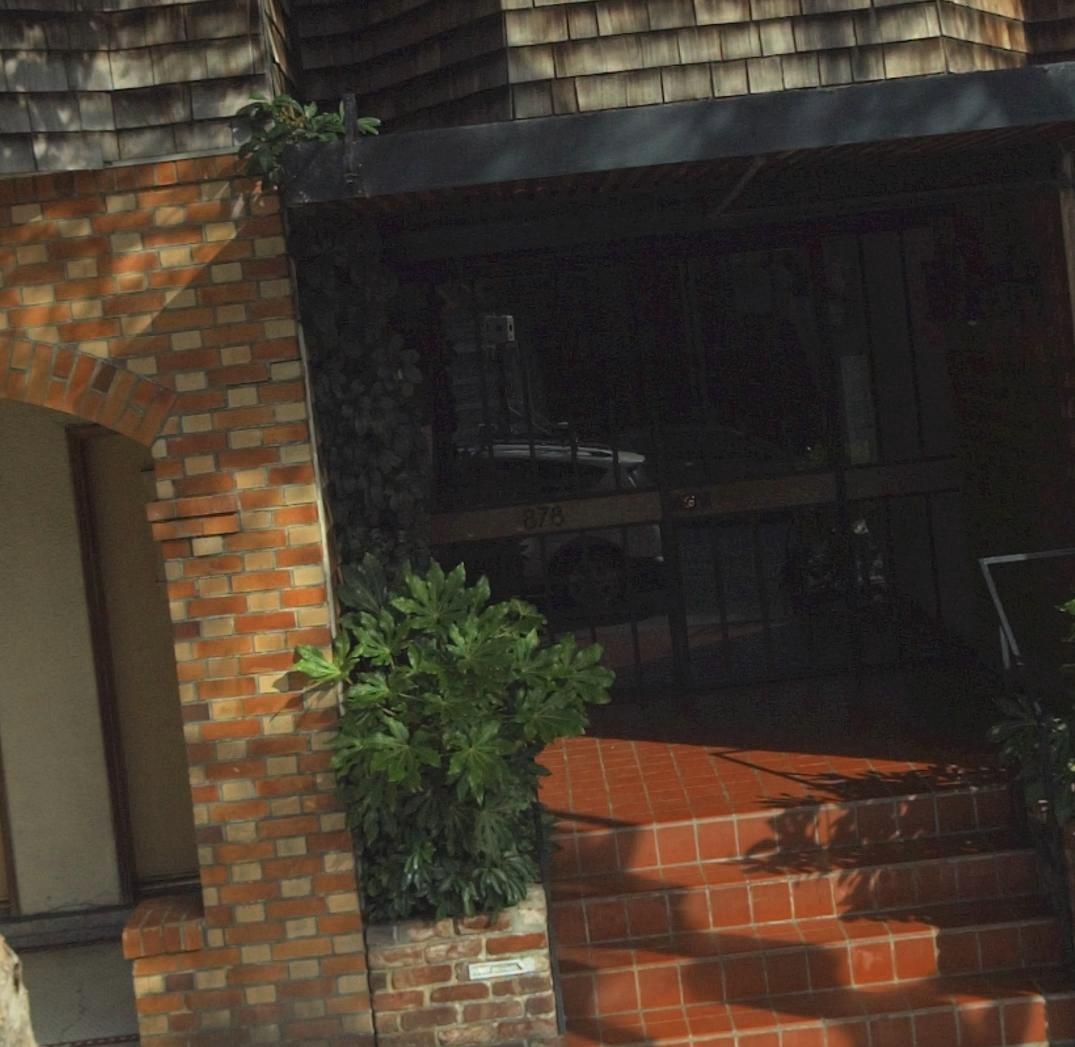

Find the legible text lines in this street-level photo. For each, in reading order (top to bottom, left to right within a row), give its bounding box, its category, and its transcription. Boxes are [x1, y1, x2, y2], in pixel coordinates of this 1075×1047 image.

[523, 505, 567, 532] StreetNumber: 878